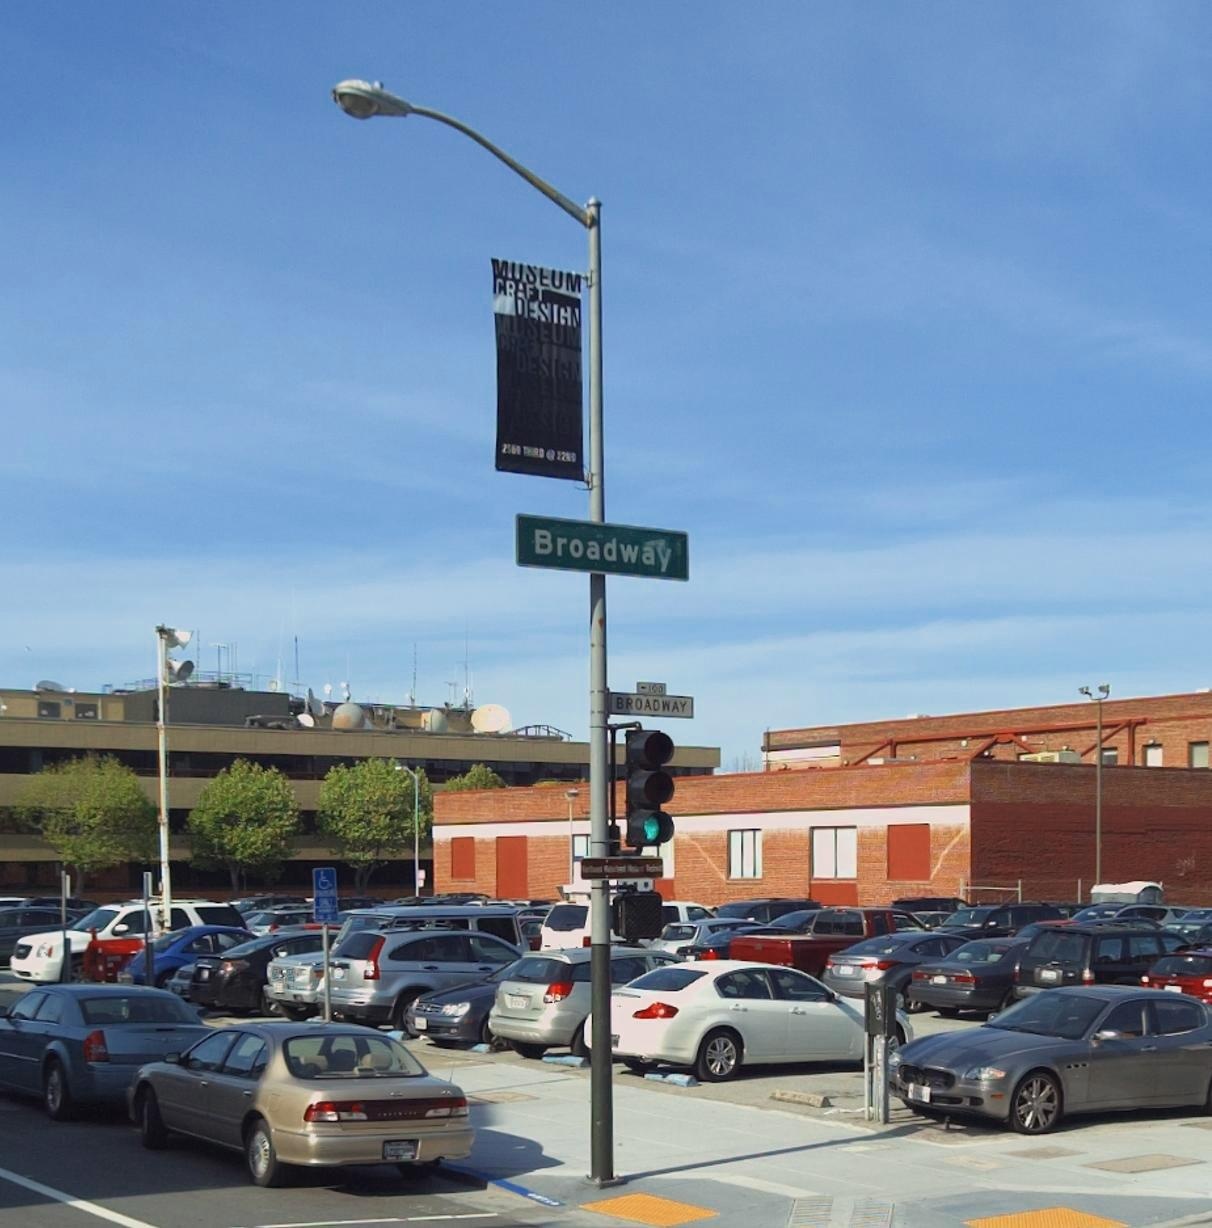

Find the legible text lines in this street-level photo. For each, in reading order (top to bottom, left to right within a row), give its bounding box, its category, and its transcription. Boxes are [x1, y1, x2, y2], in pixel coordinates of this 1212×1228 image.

[493, 275, 549, 305] None: CRAFT
[487, 253, 583, 297] None: MUS*UM
[512, 294, 582, 331] None: DESIGN
[499, 439, 524, 459] None: 256*
[555, 447, 579, 465] None: 22**
[532, 525, 680, 577] StreetName: Broadway
[638, 682, 666, 695] StreetNumberRange: <-100
[614, 694, 690, 715] StreetName: BROADWAY